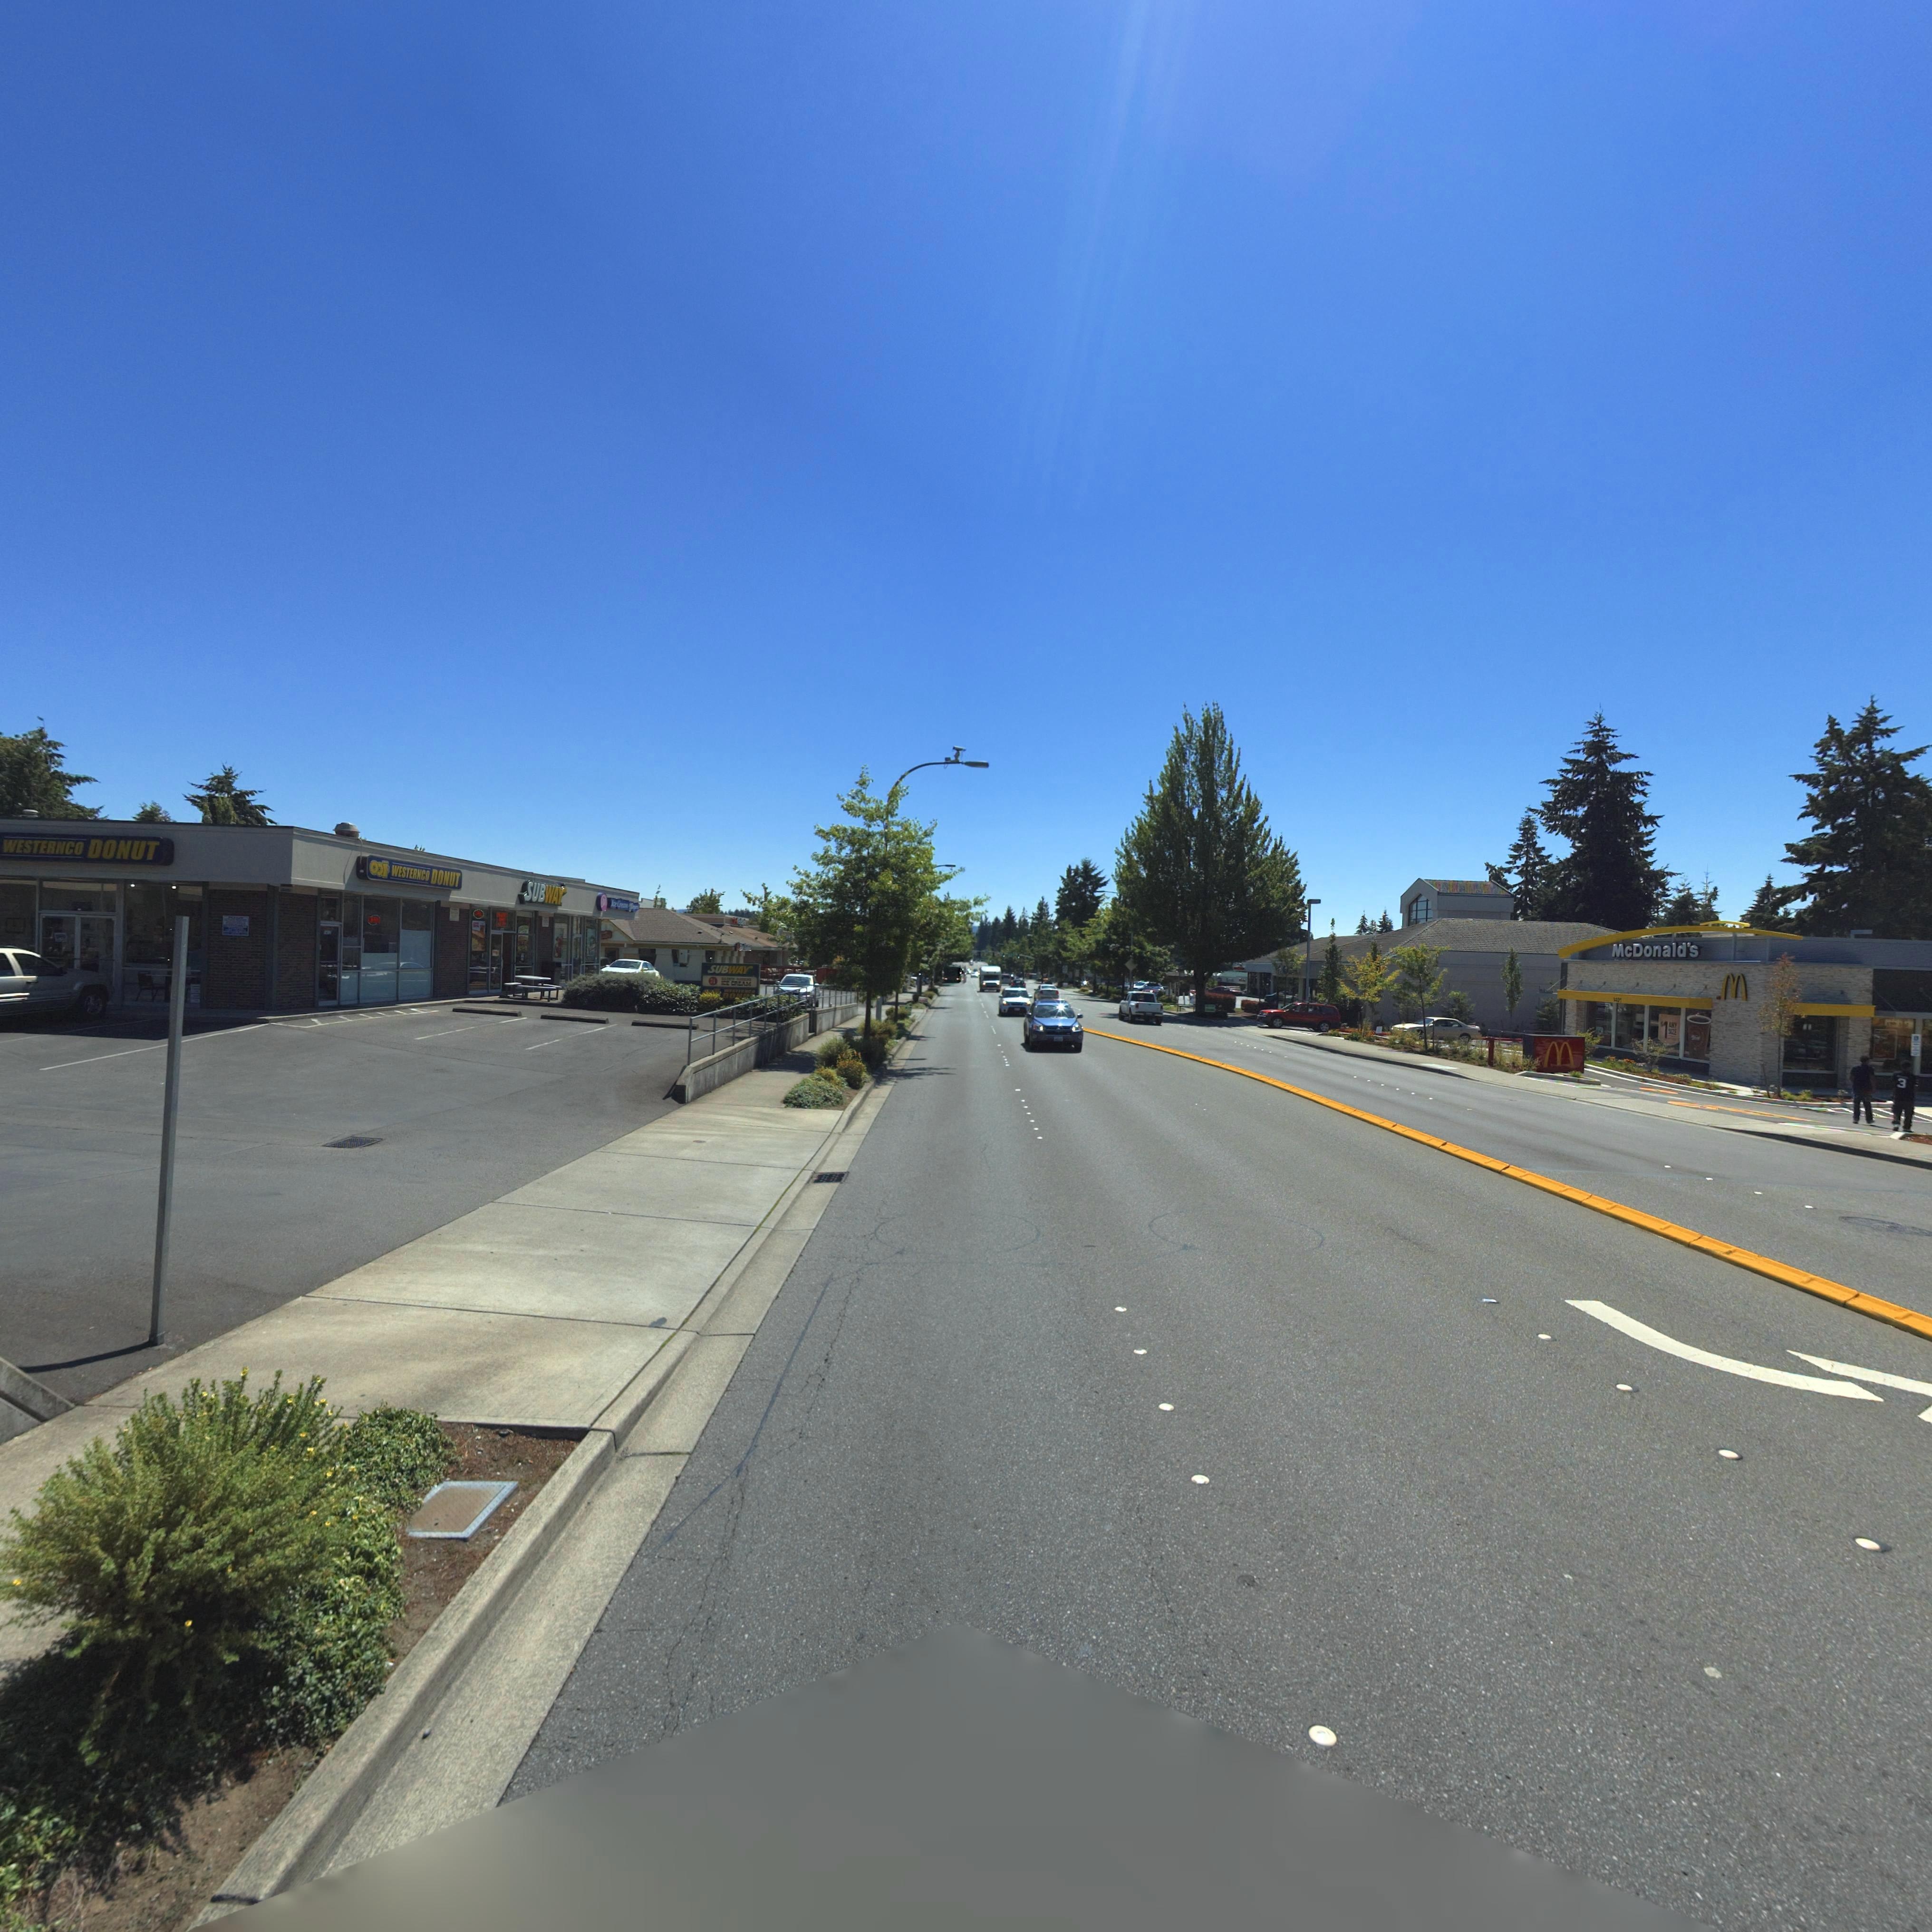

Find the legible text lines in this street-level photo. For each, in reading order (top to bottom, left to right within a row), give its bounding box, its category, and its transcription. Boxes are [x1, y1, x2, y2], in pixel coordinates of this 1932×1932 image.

[3, 839, 159, 860] BusinessName: WESTERNCO DONUT
[391, 864, 461, 887] BusinessName: WESTERNCO DONUT
[523, 881, 565, 905] BusinessName: SUBWAY
[599, 893, 629, 909] BusinessName: Ice Cream
[1612, 942, 1698, 957] BusinessName: McDonald*s
[706, 965, 750, 974] BusinessName: SUBWAY
[708, 976, 752, 986] BusinessName: ICE CREAM
[722, 992, 742, 999] BusinessName: DON